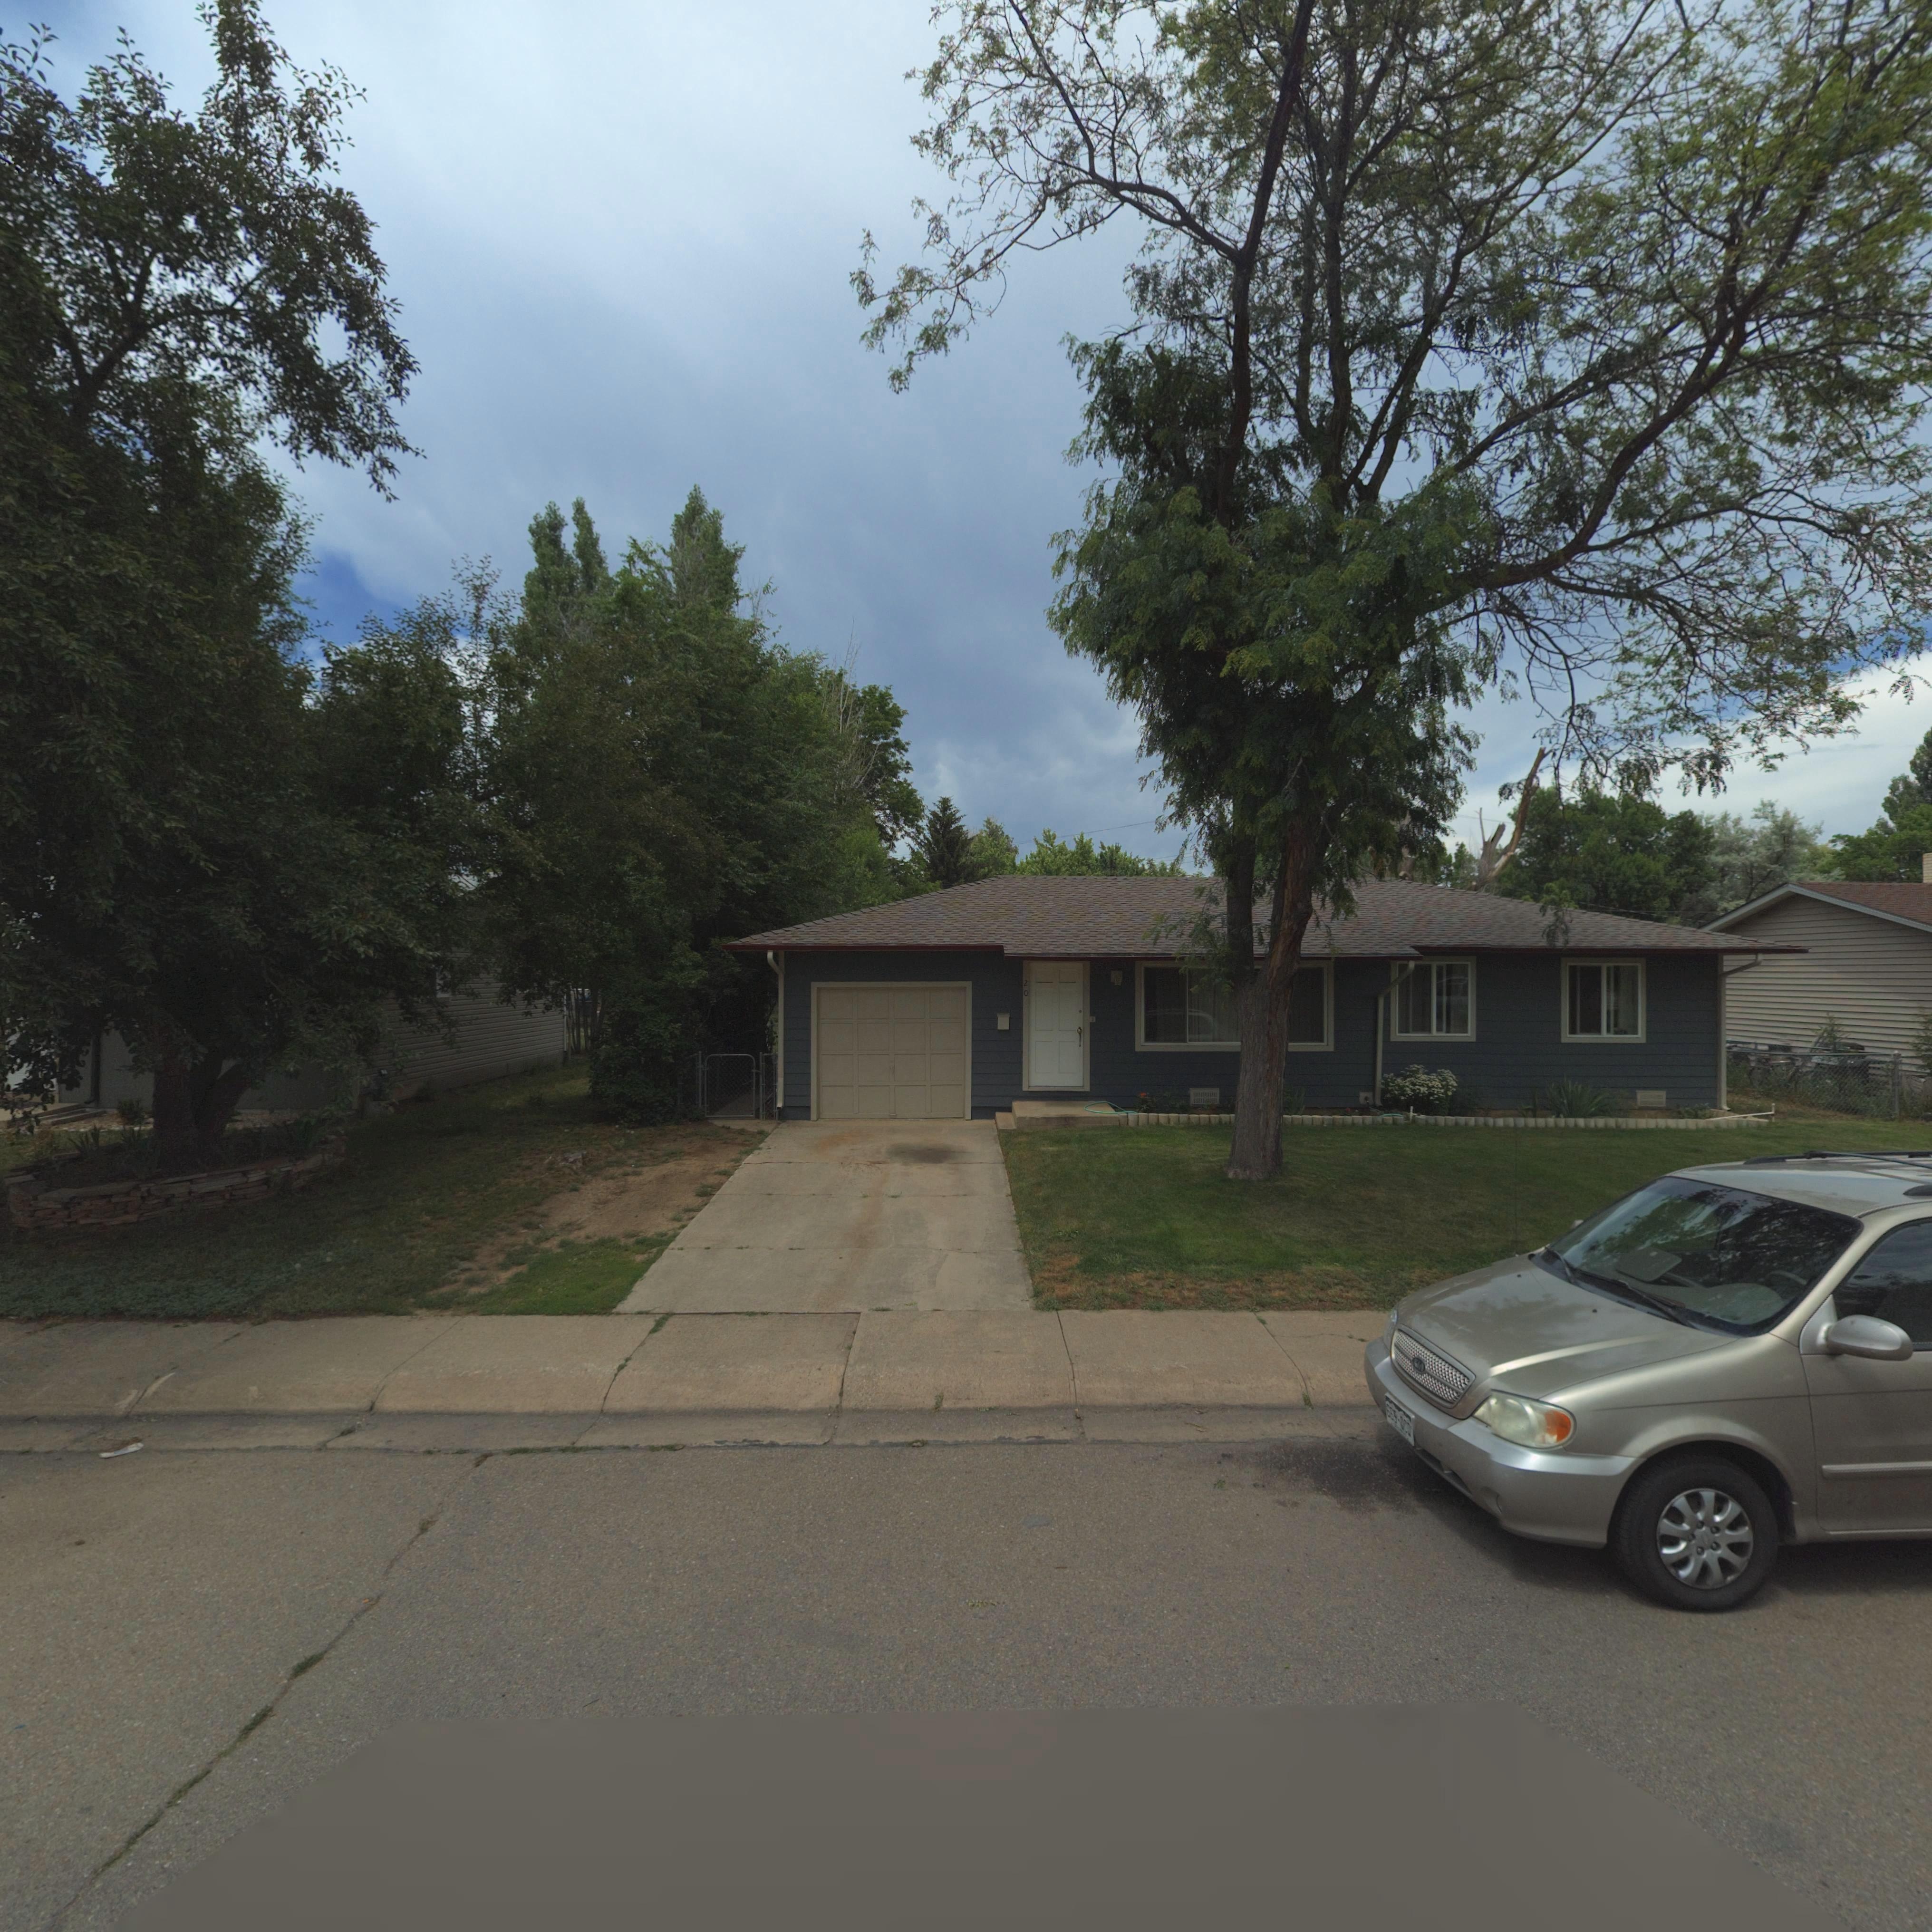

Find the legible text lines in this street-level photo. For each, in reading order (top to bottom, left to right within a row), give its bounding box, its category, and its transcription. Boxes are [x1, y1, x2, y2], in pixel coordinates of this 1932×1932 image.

[1023, 979, 1028, 996] StreetNumber: 20